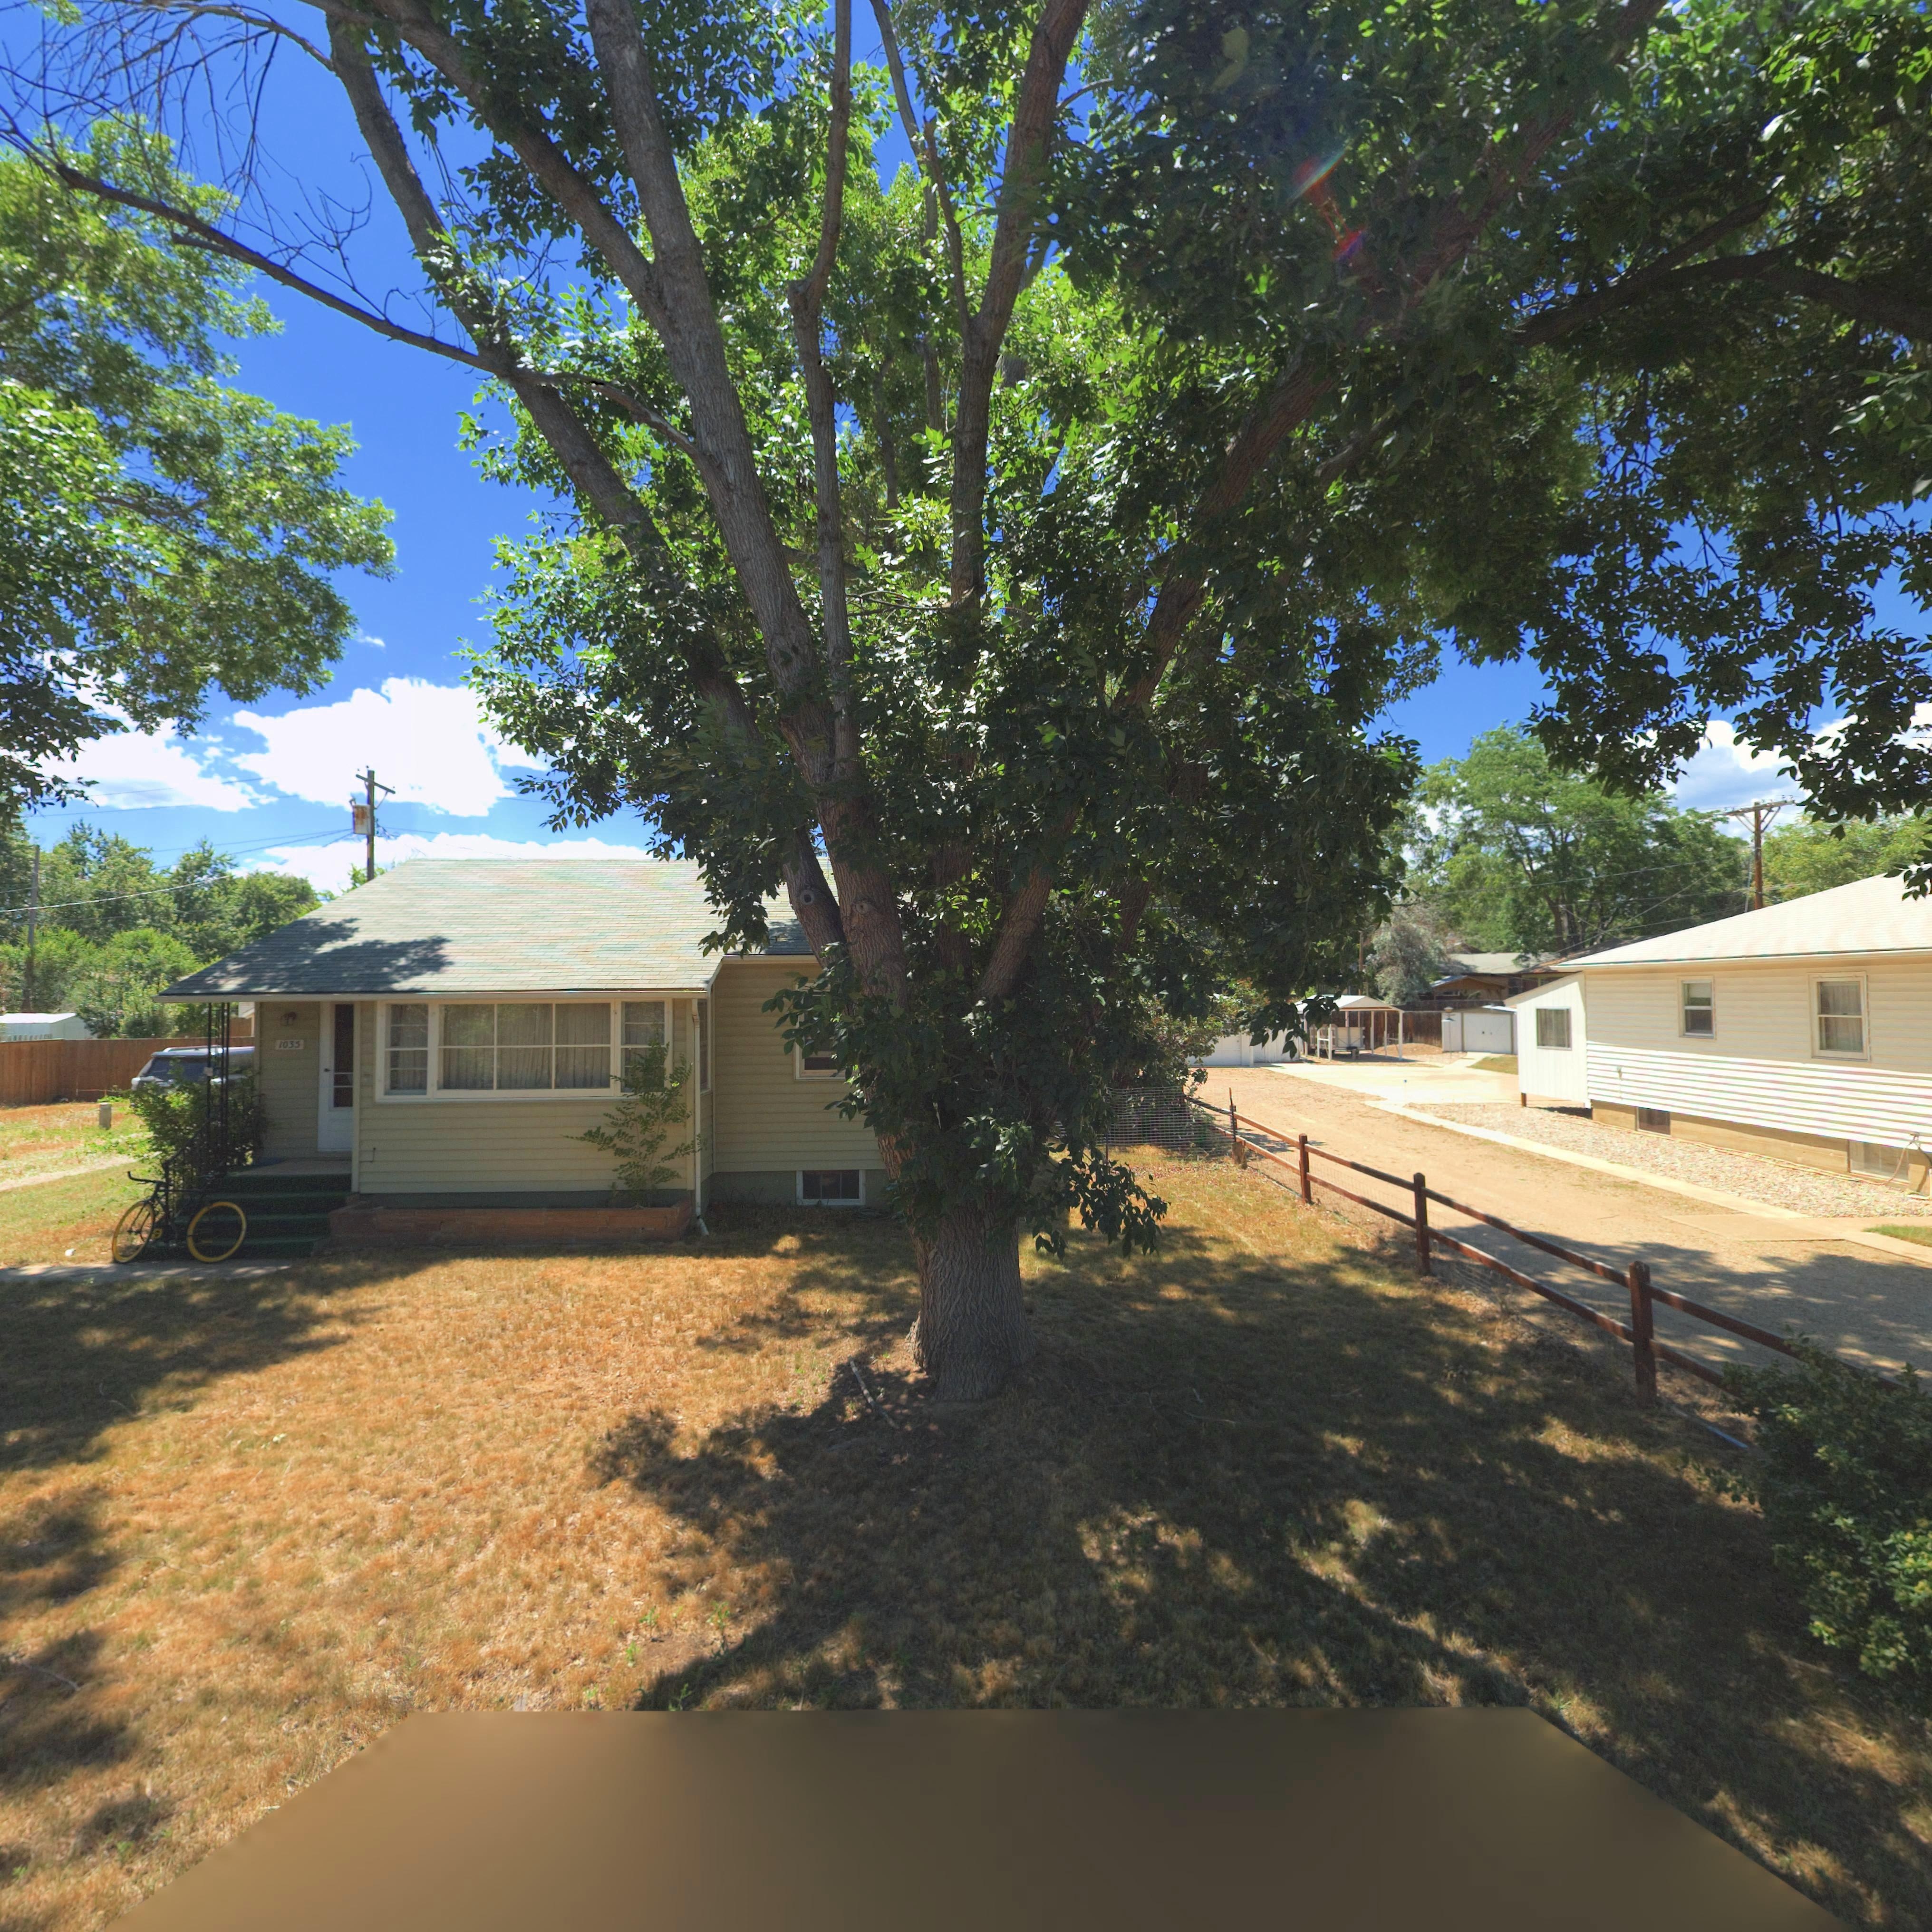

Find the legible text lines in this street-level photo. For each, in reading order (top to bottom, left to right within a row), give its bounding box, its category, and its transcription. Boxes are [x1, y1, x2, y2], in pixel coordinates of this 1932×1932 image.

[278, 1040, 300, 1049] StreetNumber: 1035